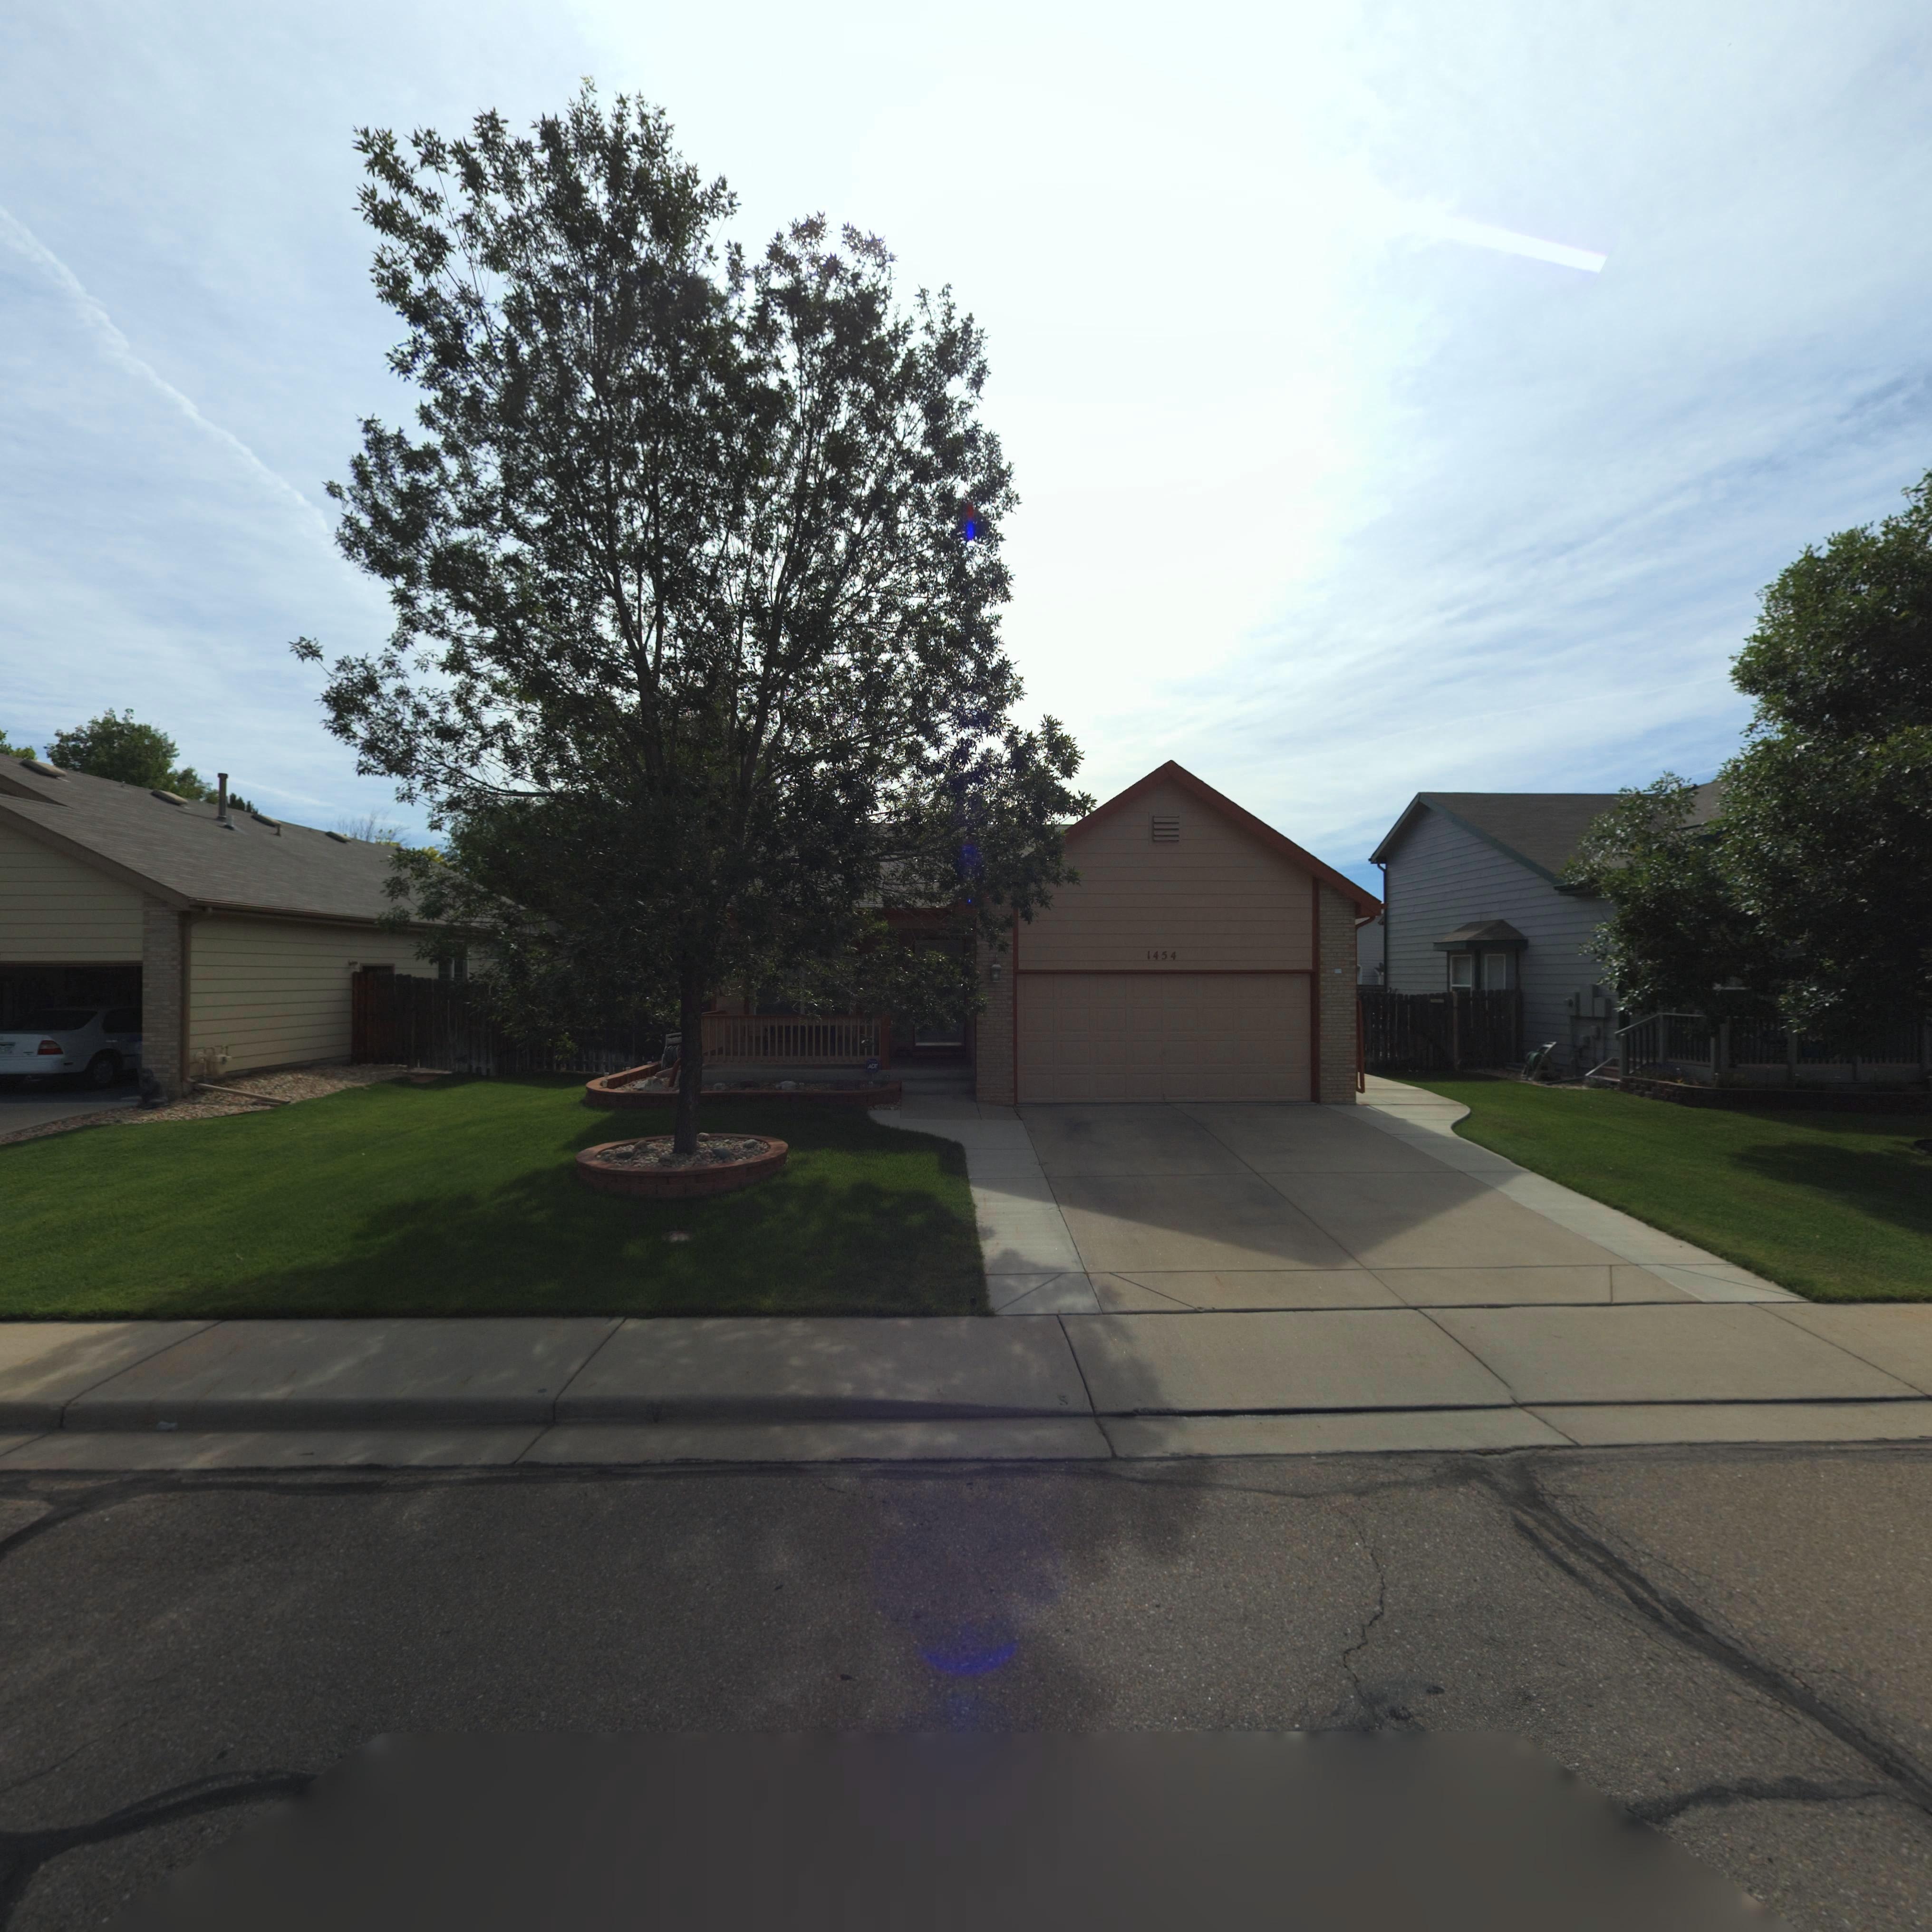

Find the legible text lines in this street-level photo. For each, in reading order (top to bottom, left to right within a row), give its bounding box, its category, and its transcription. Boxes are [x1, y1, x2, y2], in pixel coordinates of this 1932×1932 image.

[1146, 950, 1176, 960] StreetNumber: 1454